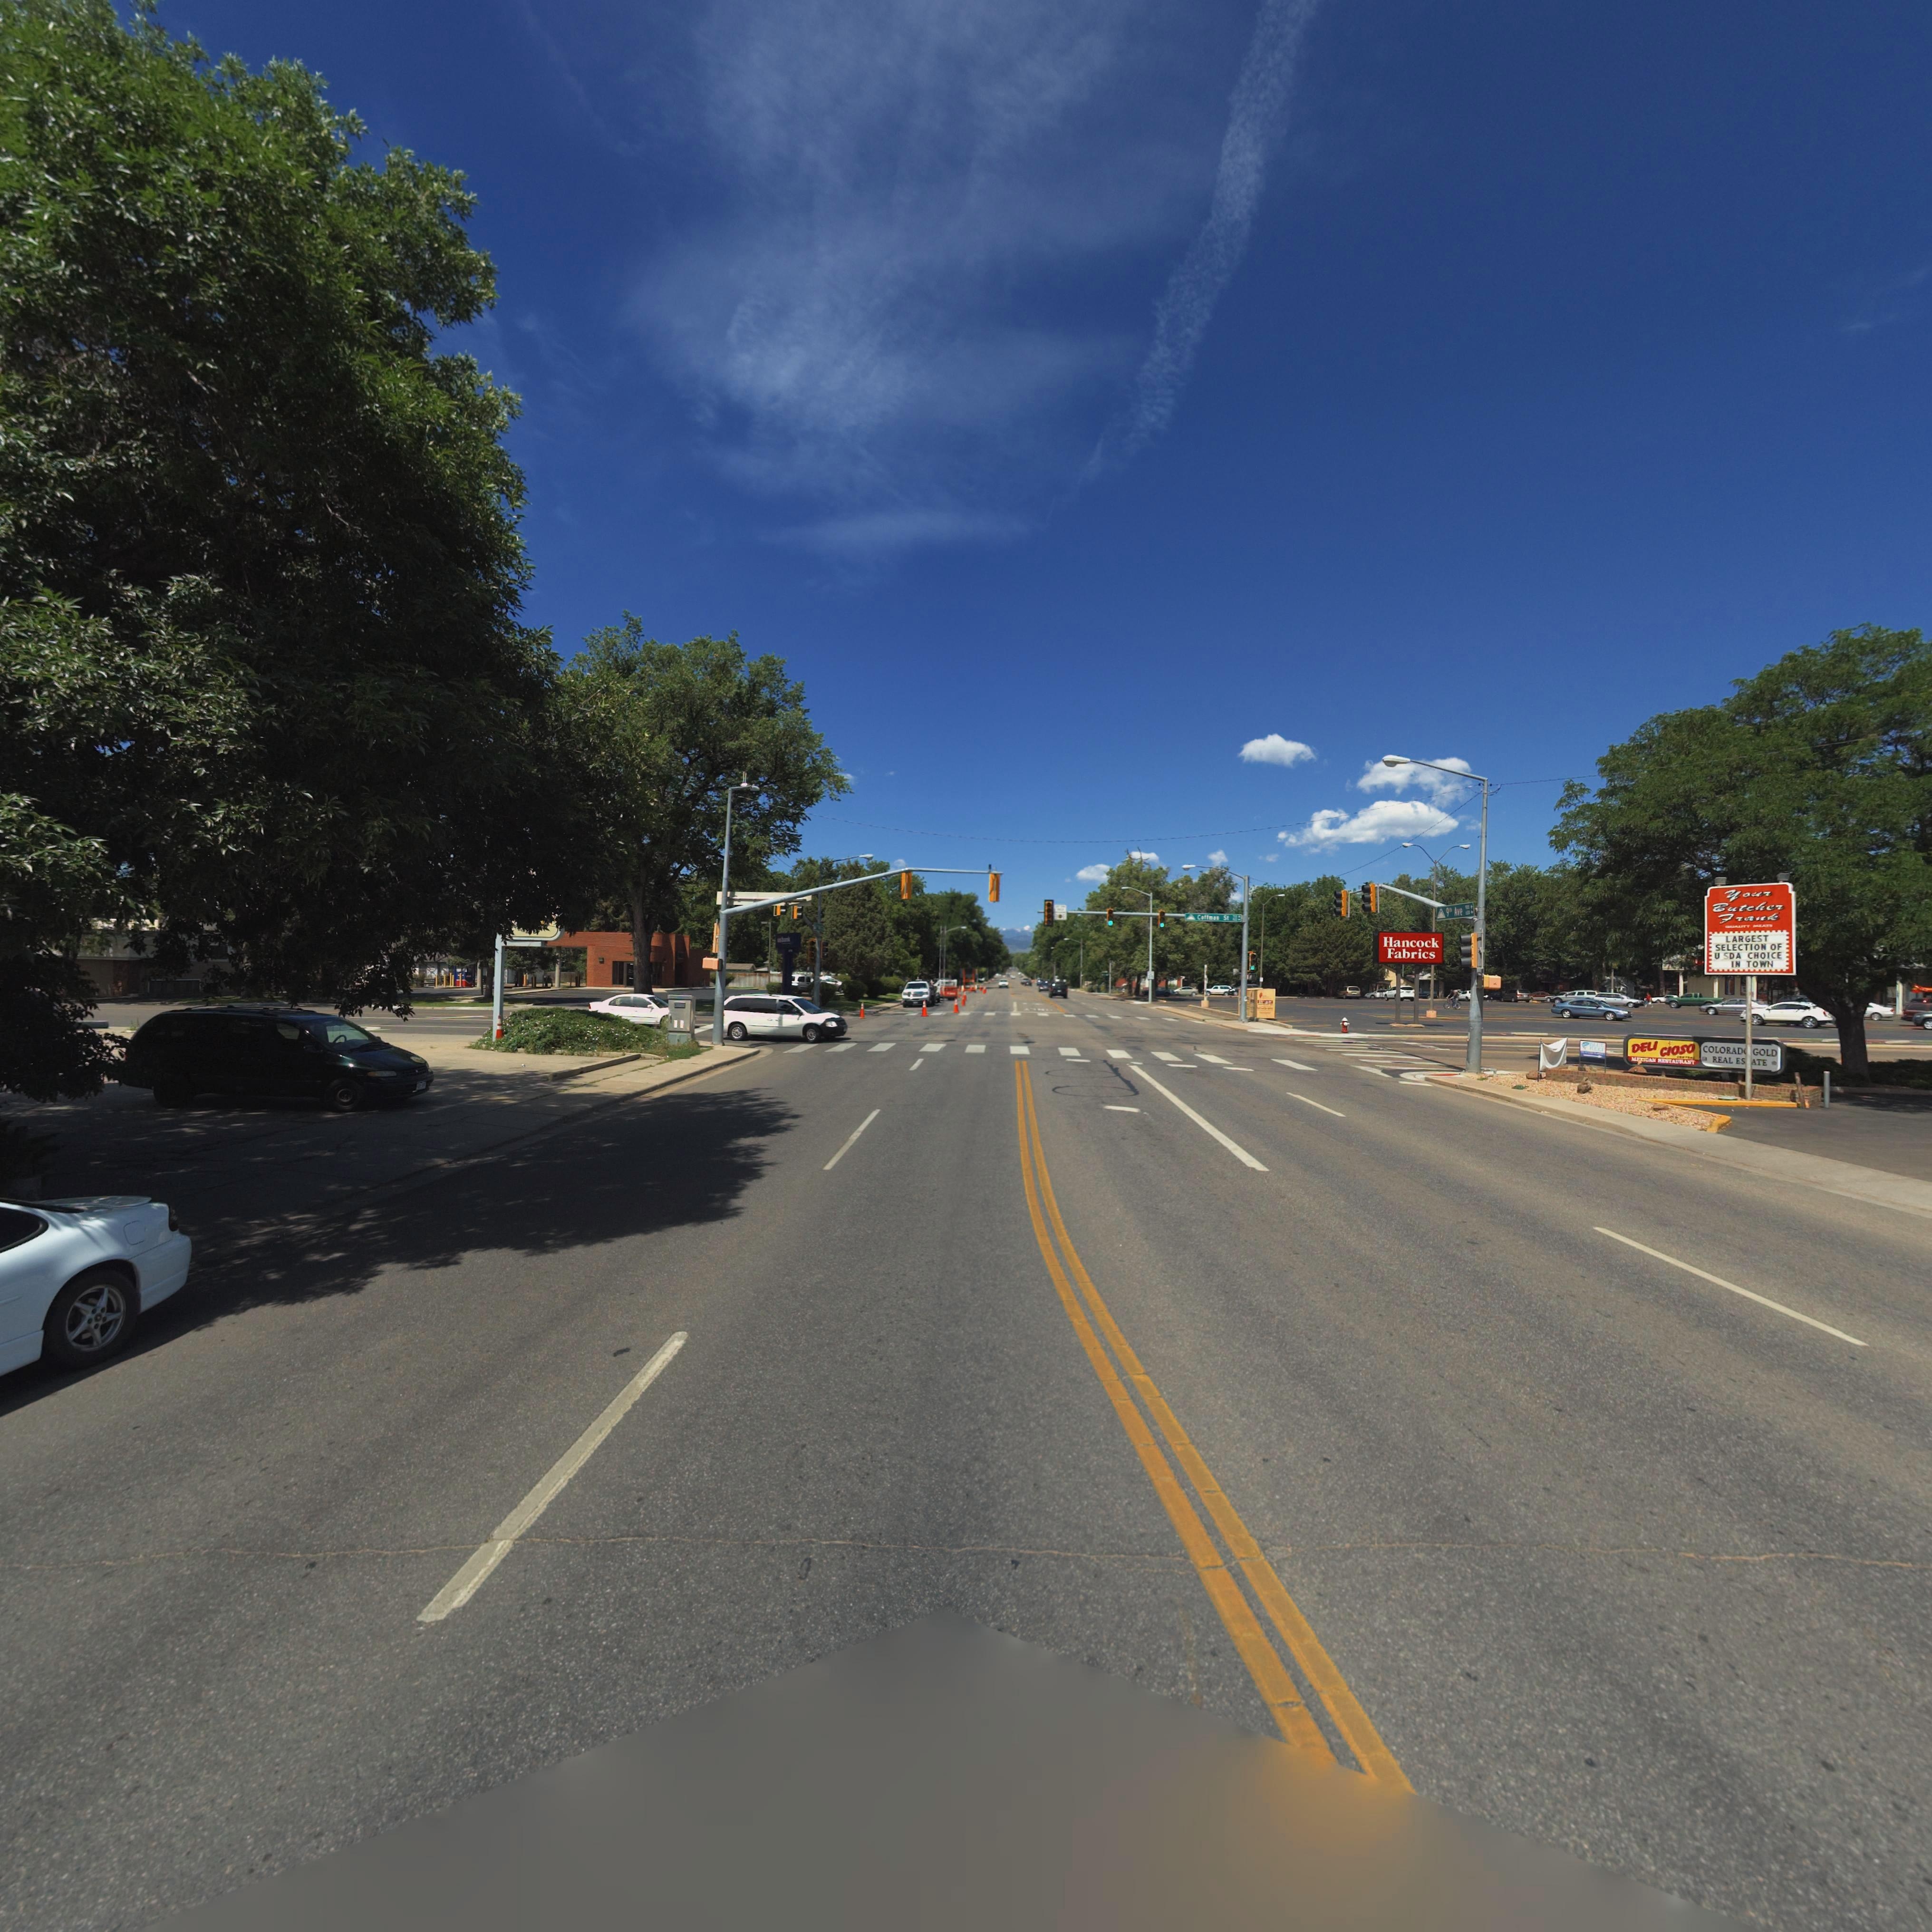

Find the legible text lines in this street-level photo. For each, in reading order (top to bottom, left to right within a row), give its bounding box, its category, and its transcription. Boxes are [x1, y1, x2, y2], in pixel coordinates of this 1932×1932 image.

[1724, 889, 1772, 902] BusinessName: Your
[1197, 914, 1229, 920] StreetName: C****** S*
[1445, 906, 1463, 917] StreetName: 9** A*e
[1711, 901, 1784, 913] BusinessName: Butcher
[1717, 911, 1780, 925] BusinessName: Frank
[777, 935, 791, 943] BusinessName: *s ****
[1382, 936, 1439, 948] BusinessName: Hancock
[1386, 948, 1436, 959] BusinessName: Fabrics
[1631, 1040, 1658, 1054] BusinessName: DELI
[1659, 1043, 1696, 1057] BusinessName: CIOSO
[1702, 1045, 1778, 1057] BusinessName: COLORAD* GOLD
[1631, 1057, 1696, 1064] BusinessName: M****** R***A**A*T
[1712, 1055, 1768, 1066] BusinessName: REAL ES*ATE